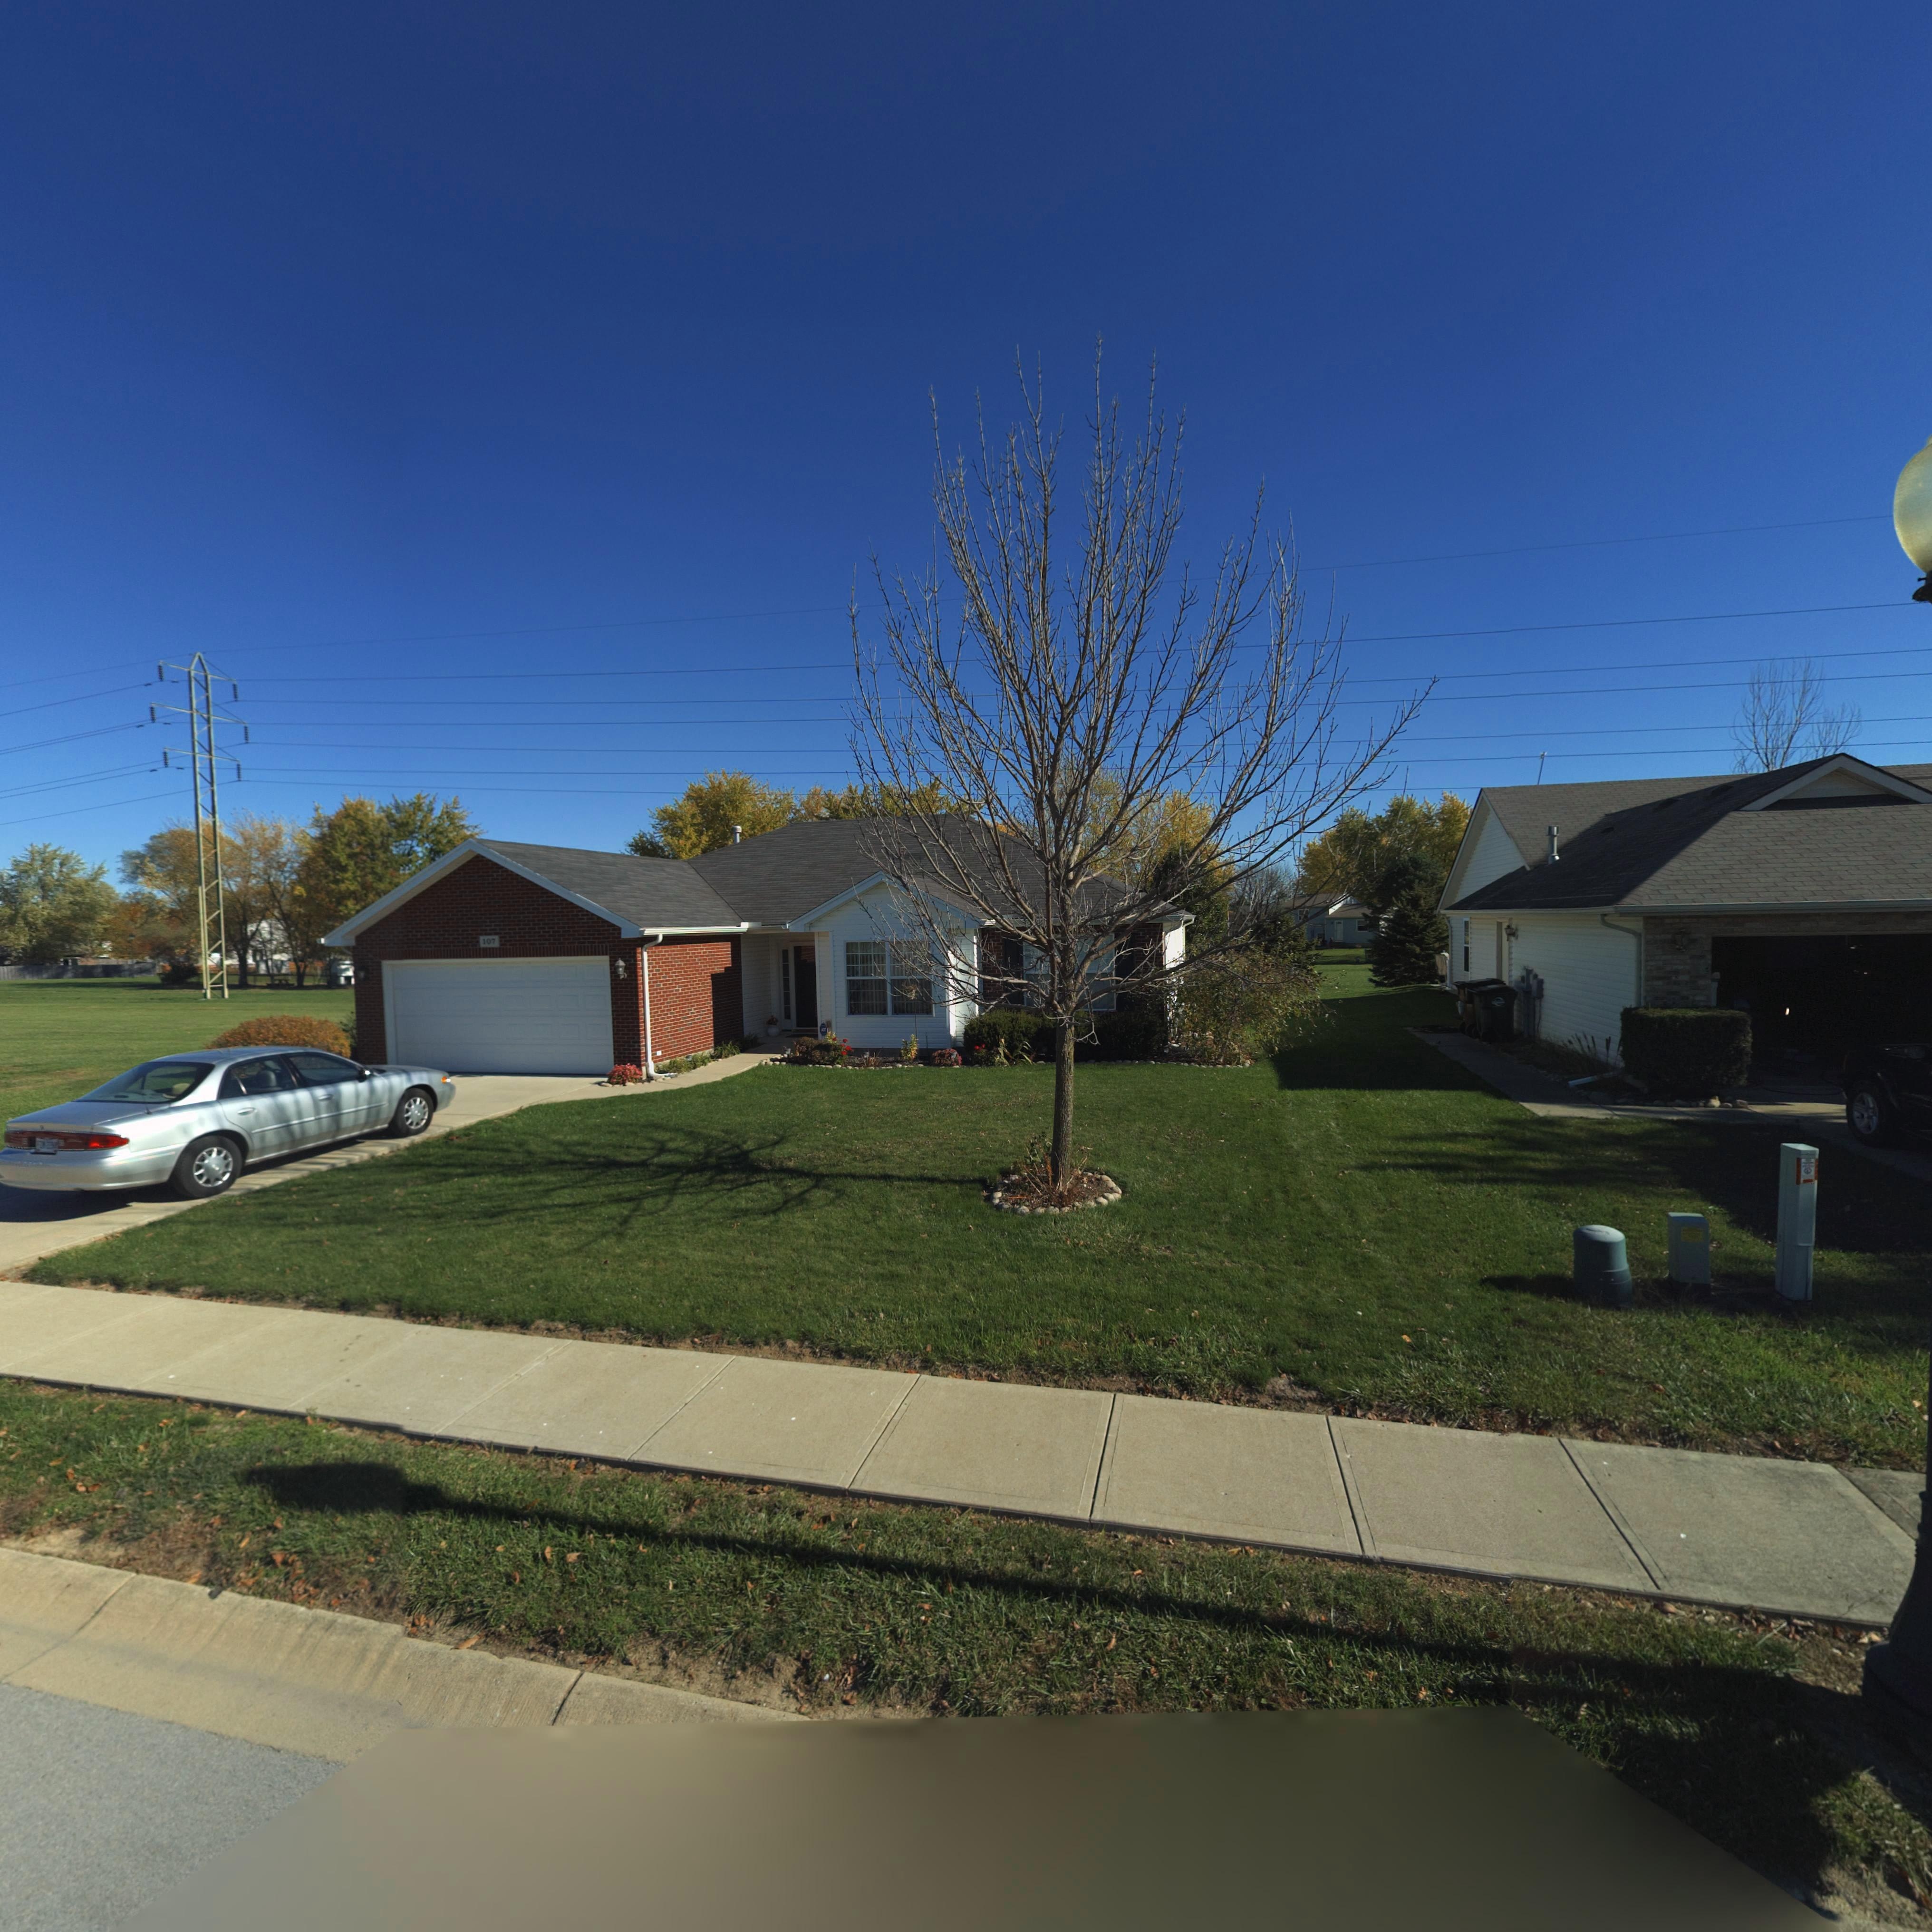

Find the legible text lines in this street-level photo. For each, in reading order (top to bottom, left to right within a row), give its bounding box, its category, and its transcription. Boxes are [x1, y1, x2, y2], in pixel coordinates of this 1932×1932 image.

[482, 937, 496, 945] StreetNumber: 107